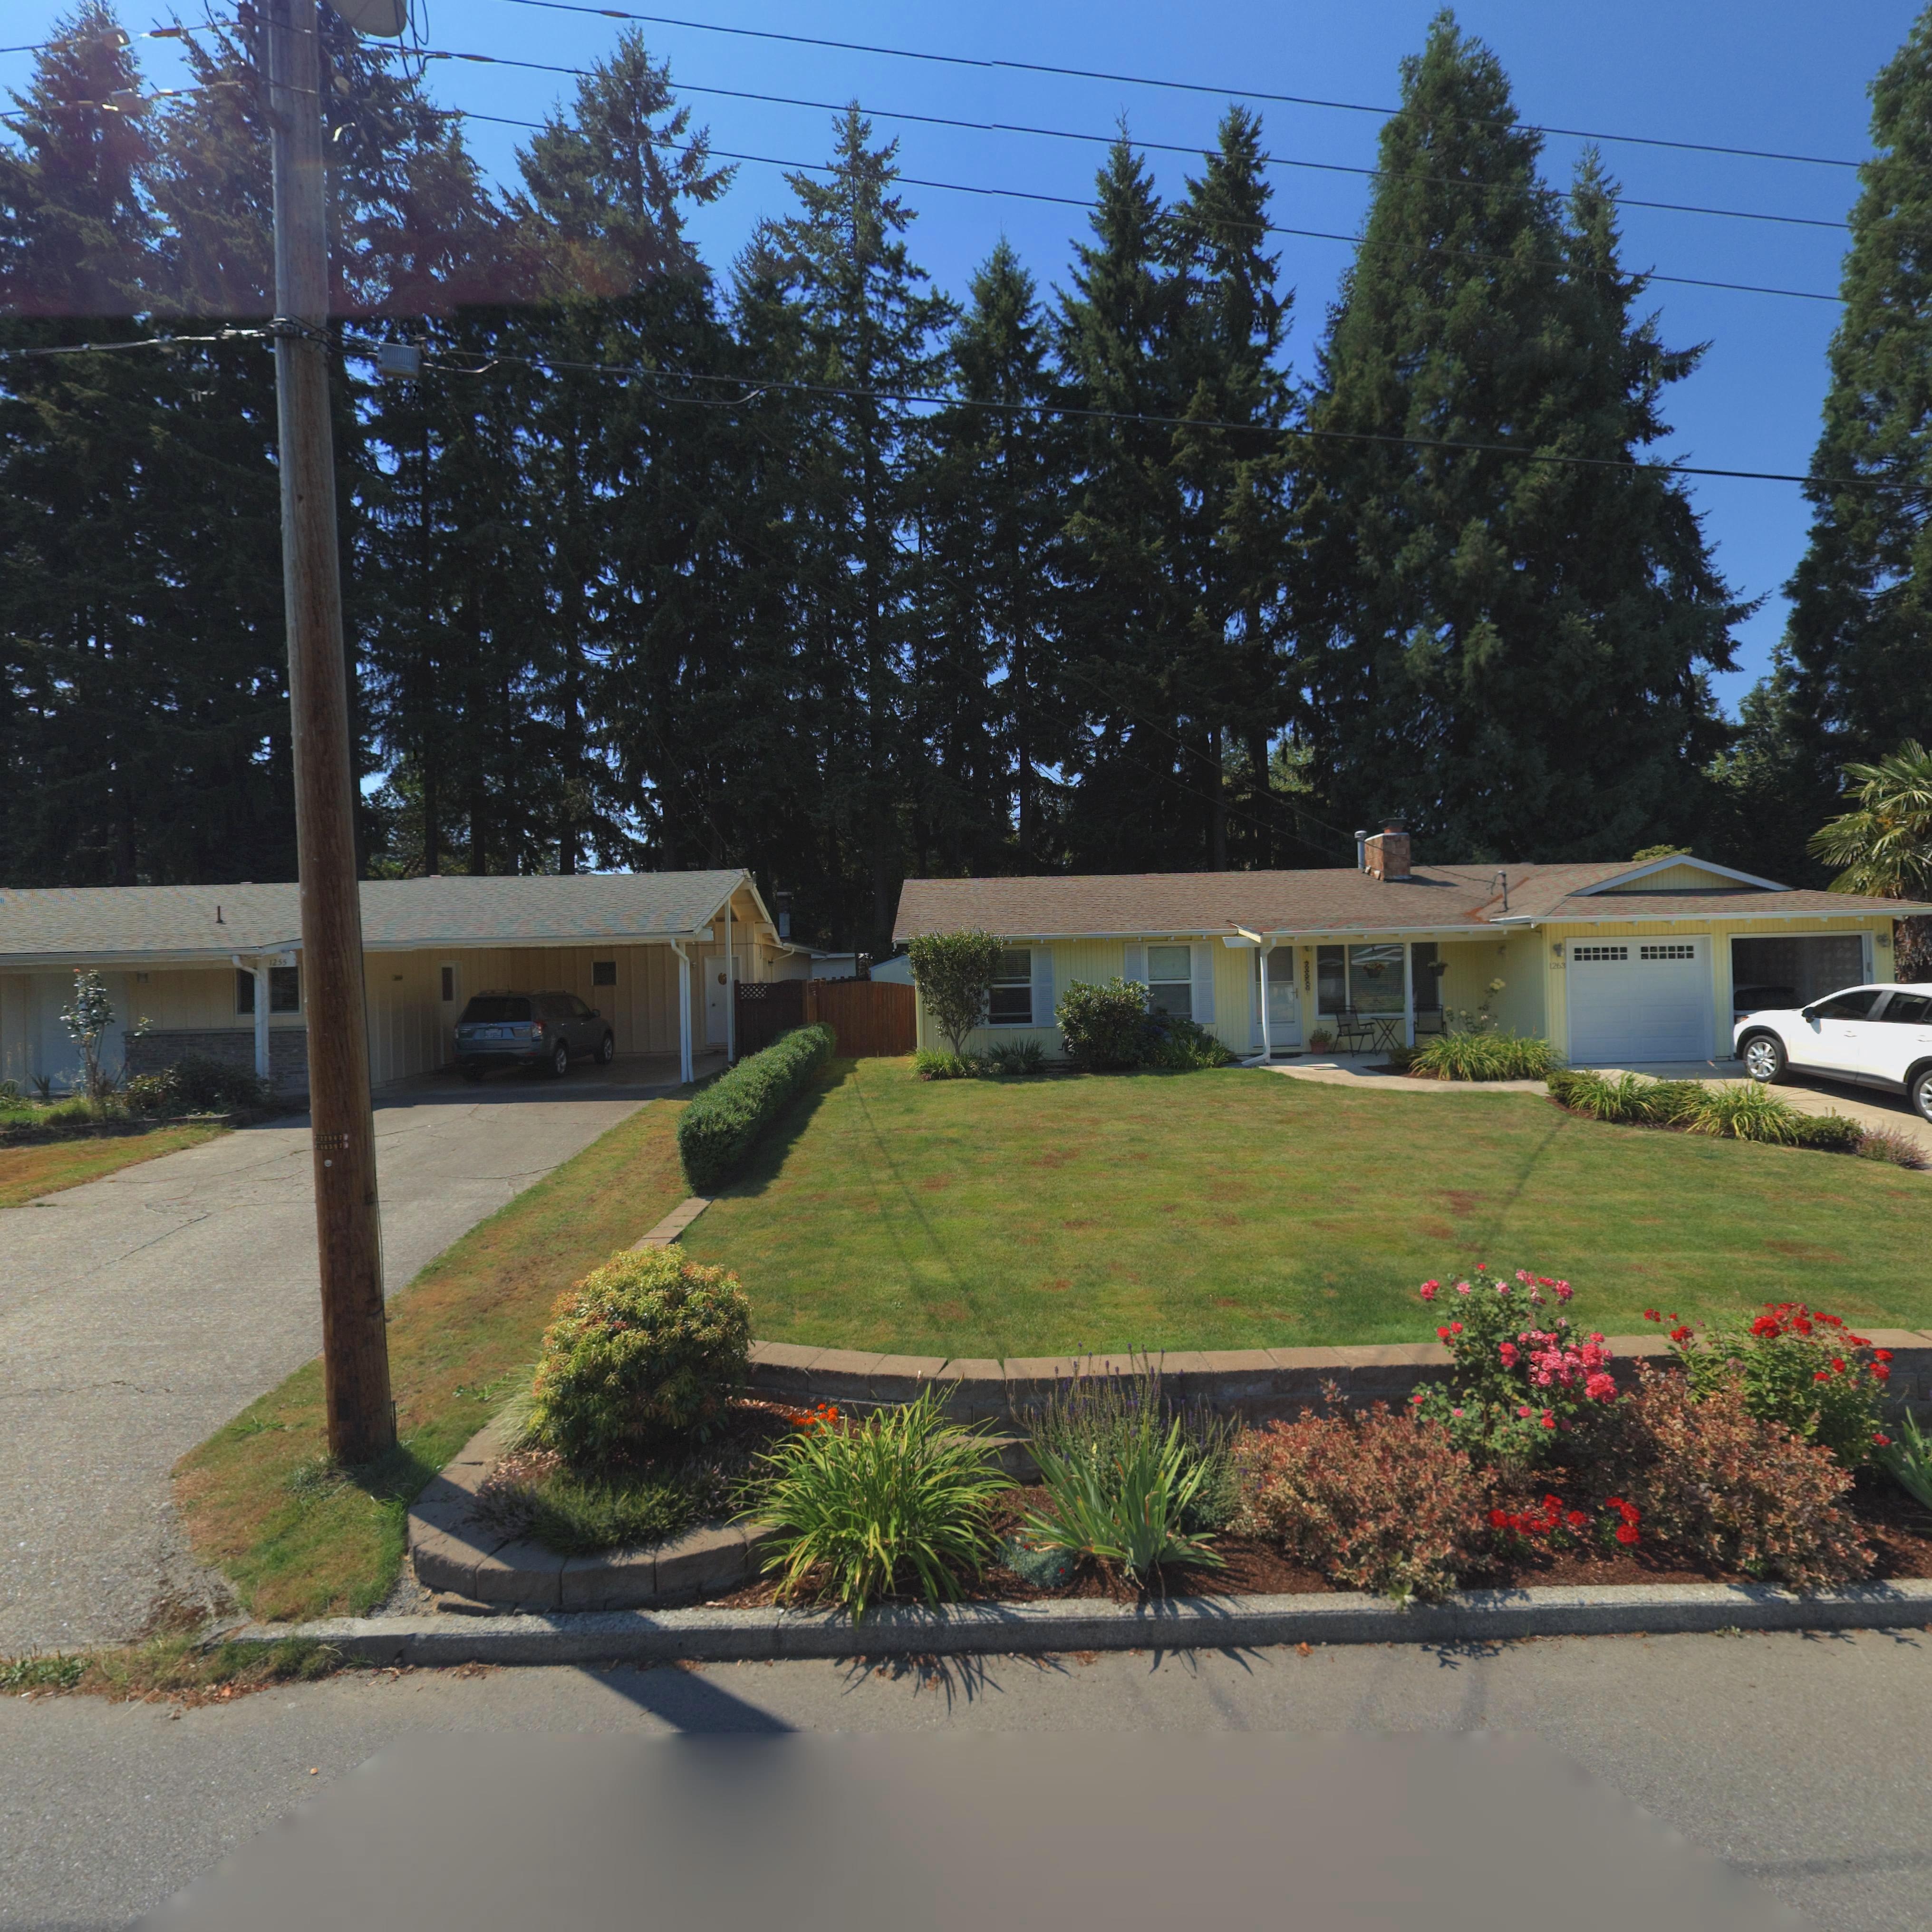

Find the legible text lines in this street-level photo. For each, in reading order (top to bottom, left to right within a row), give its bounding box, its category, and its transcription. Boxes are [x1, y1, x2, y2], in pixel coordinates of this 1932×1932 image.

[269, 958, 288, 966] StreetNumber: 1255
[1549, 962, 1565, 969] StreetNumber: 1263